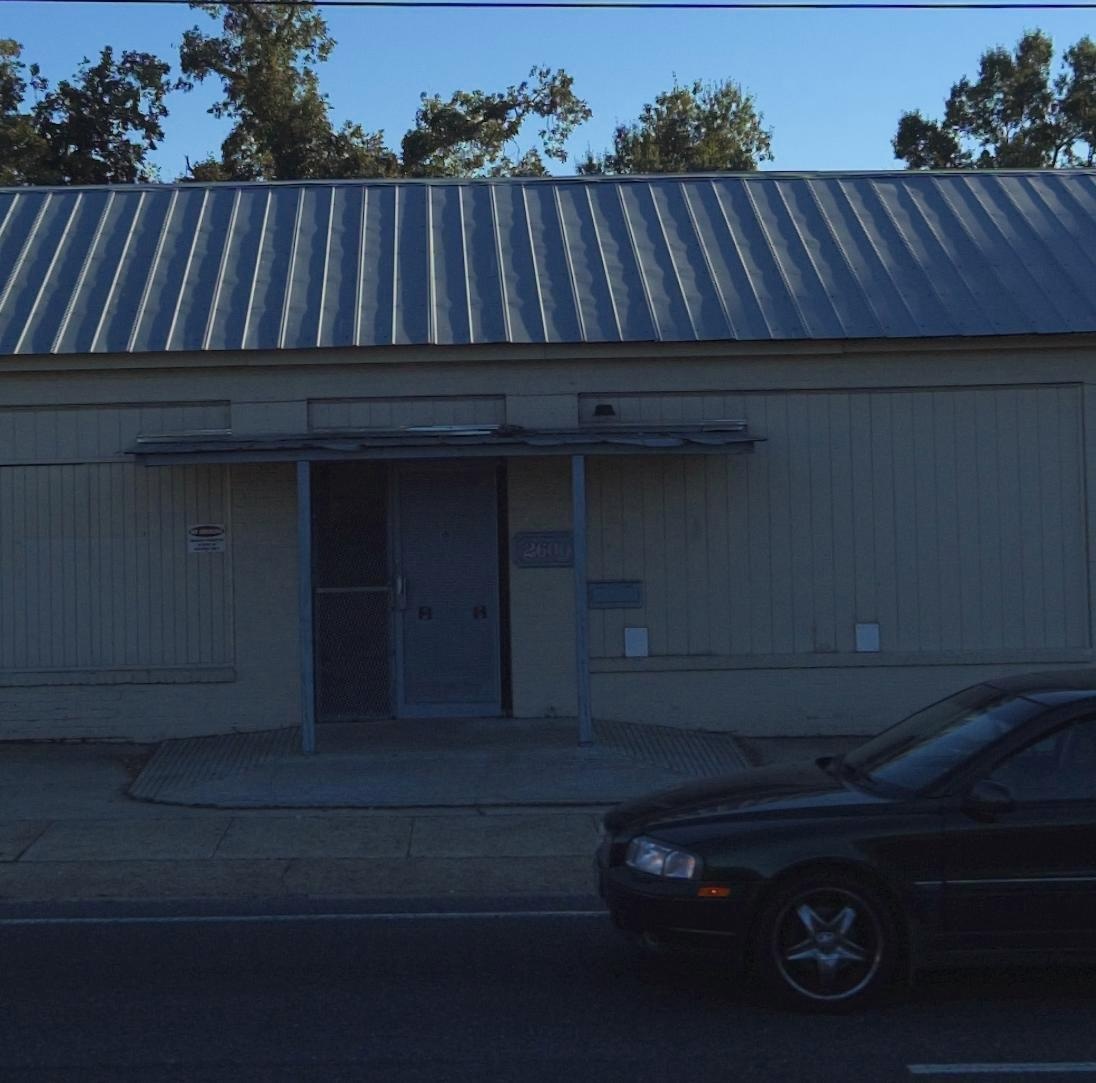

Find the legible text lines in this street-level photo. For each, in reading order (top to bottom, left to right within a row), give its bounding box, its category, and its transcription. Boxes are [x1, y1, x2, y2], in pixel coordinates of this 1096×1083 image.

[521, 539, 573, 560] StreetNumber: 2600